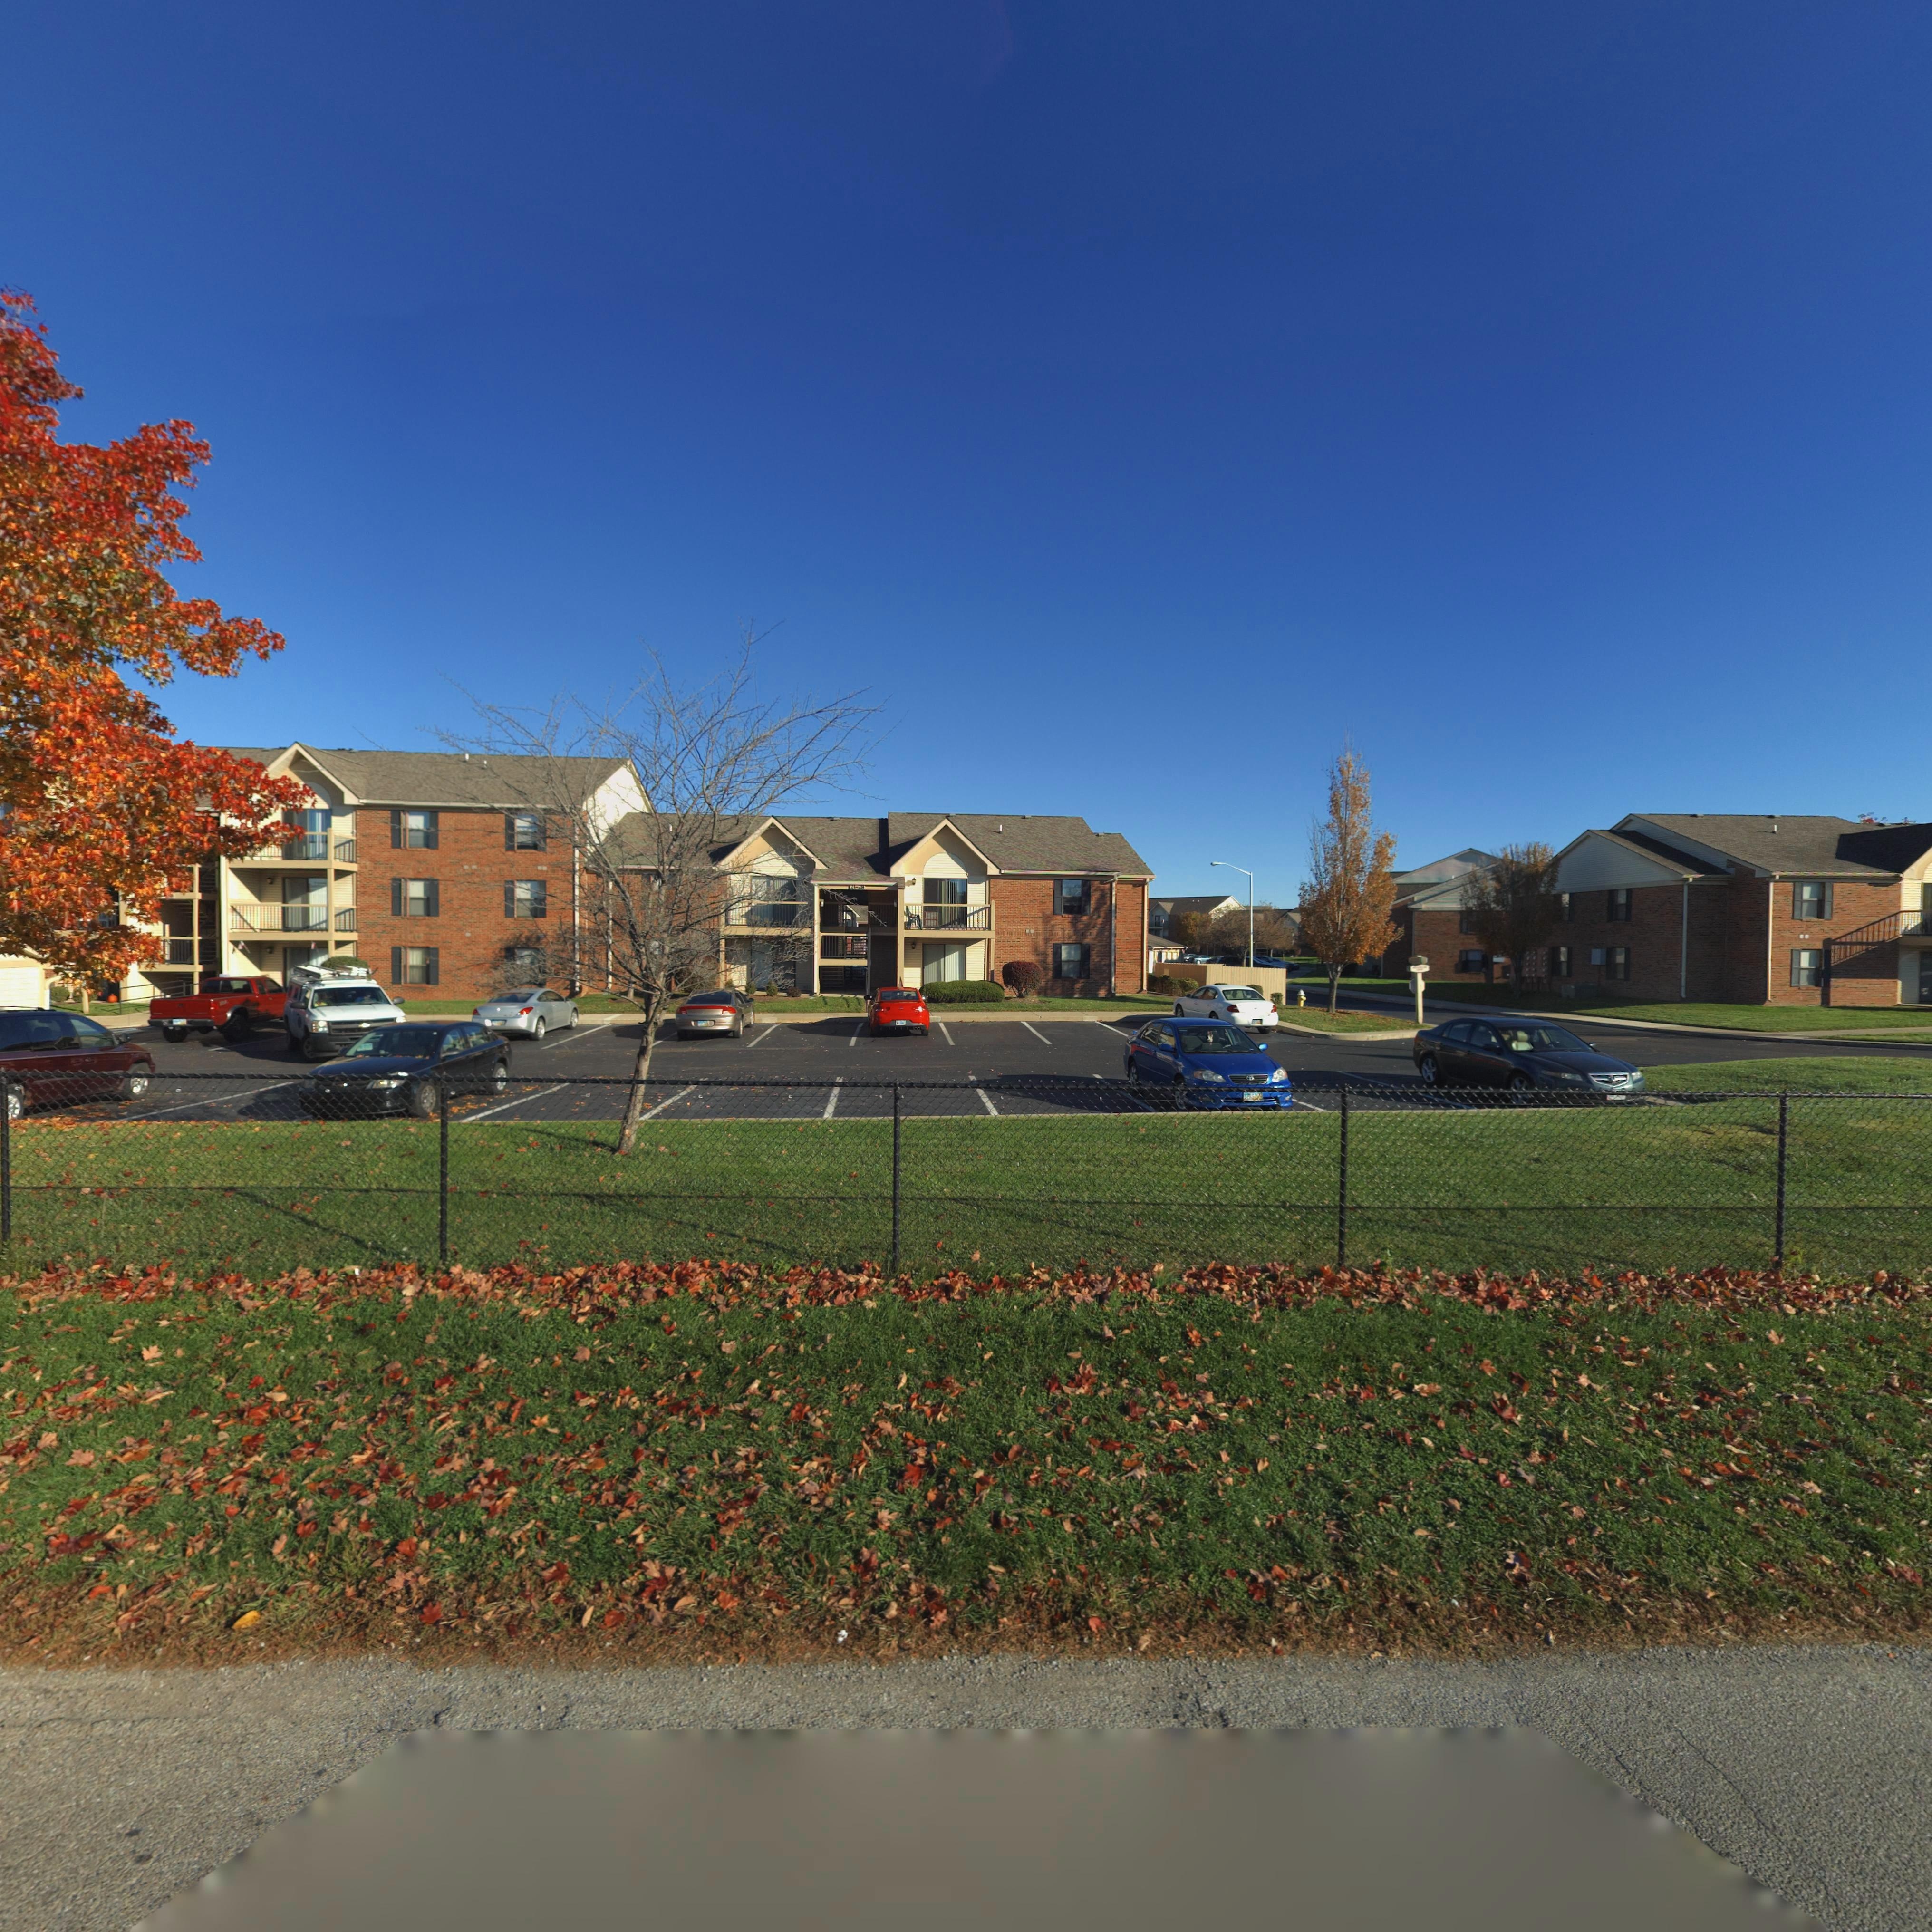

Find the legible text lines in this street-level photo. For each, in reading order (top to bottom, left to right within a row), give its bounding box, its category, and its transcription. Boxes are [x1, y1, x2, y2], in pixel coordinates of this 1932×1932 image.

[850, 884, 856, 889] StreetNumber: 21
[858, 884, 864, 889] StreetNumber: 28